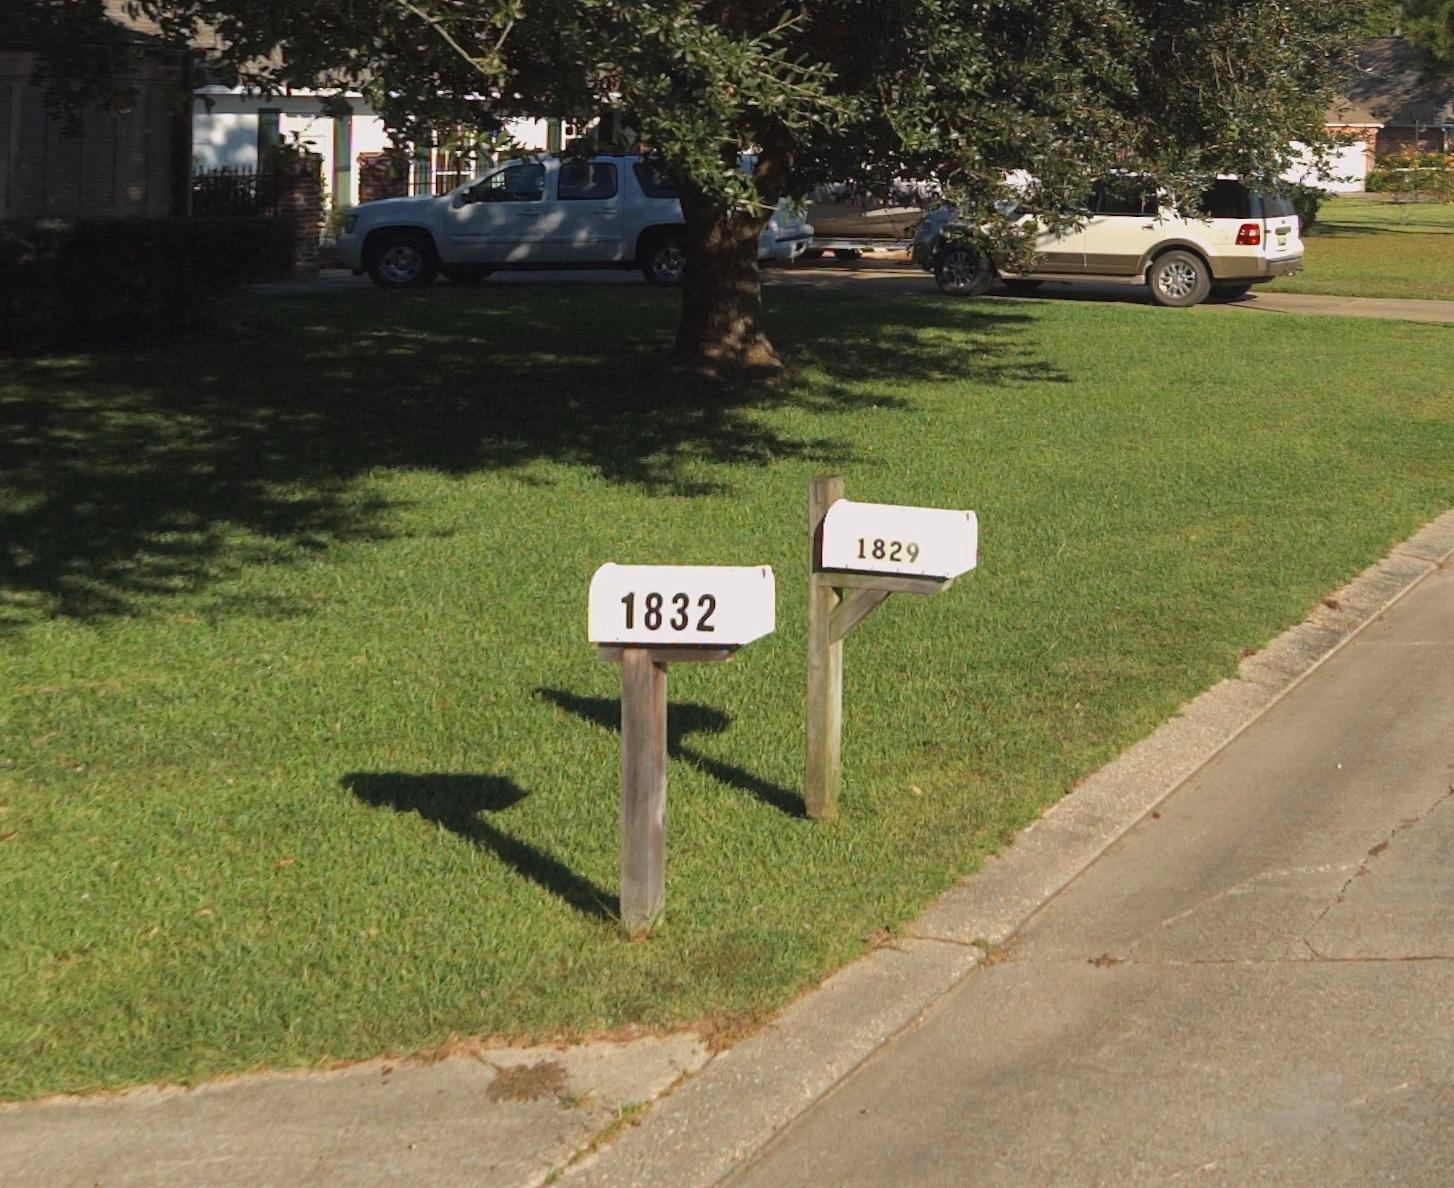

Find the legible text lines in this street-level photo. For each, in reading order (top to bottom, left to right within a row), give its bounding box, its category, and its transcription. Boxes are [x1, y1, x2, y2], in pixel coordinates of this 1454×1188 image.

[854, 534, 924, 567] StreetNumber: 1829
[617, 589, 720, 635] StreetNumber: 1832